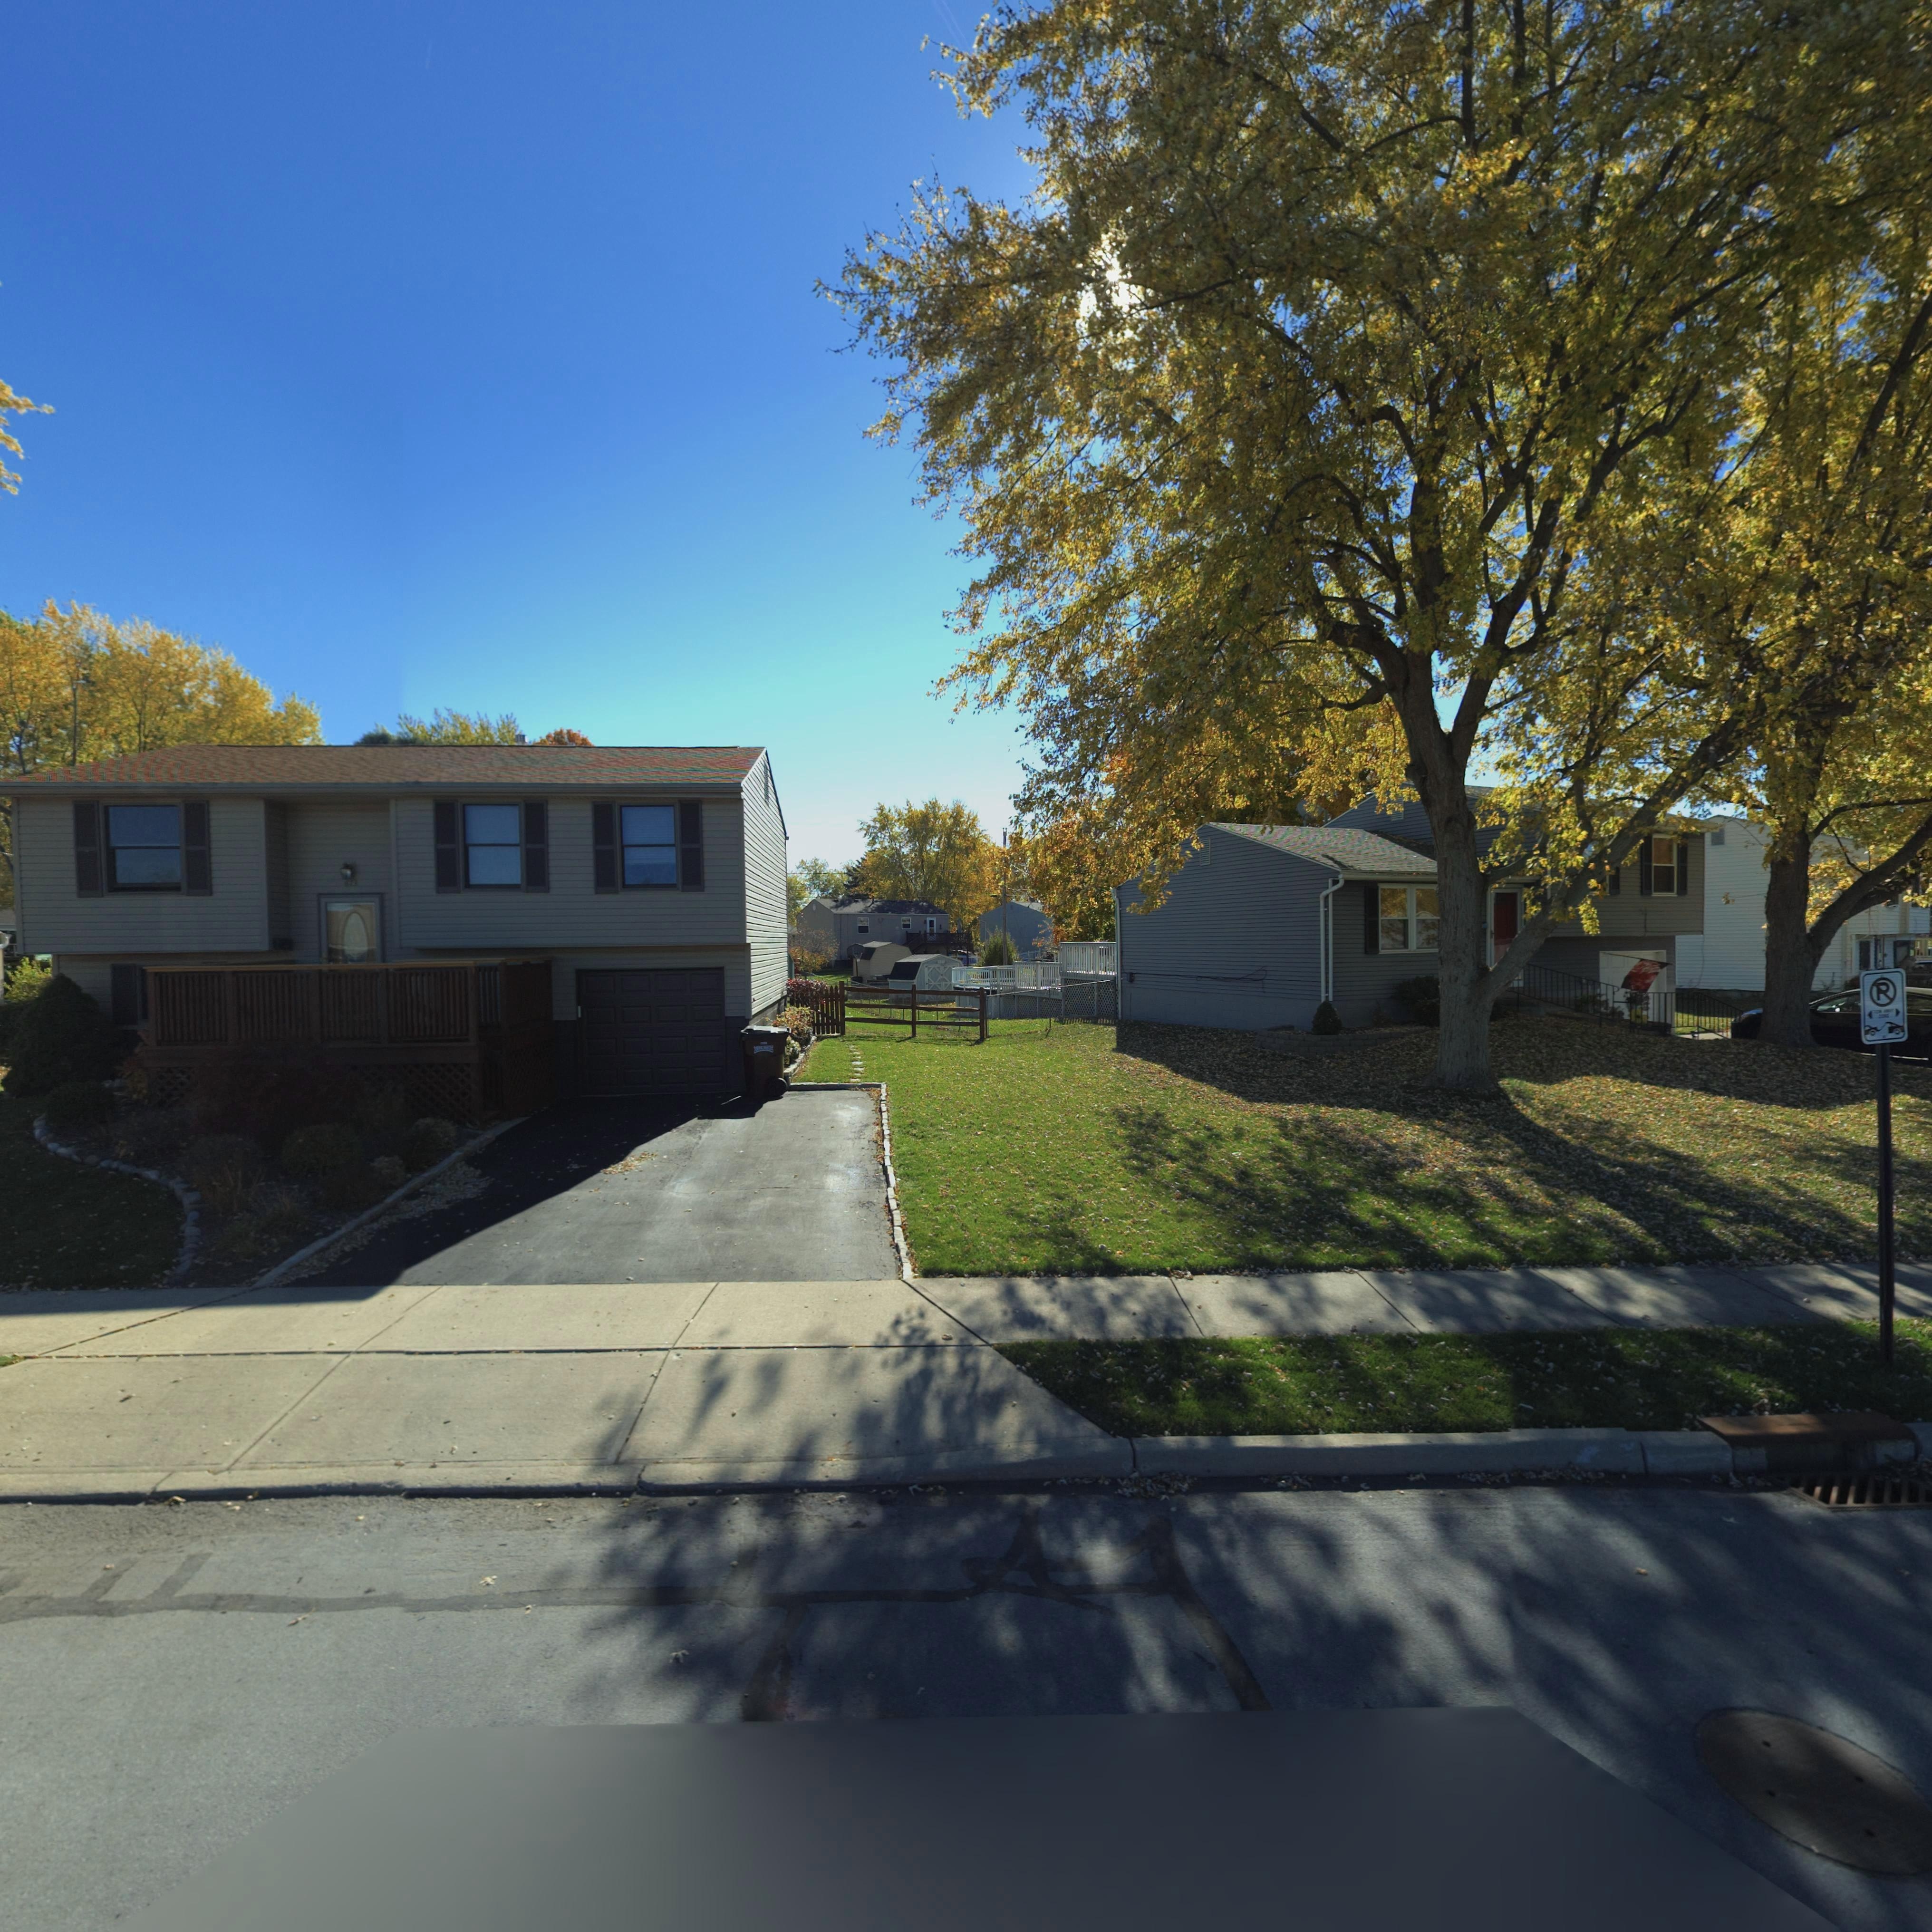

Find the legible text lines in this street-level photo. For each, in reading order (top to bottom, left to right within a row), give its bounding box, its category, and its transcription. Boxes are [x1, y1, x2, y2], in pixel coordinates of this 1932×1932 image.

[343, 879, 358, 888] StreetNumber: 673